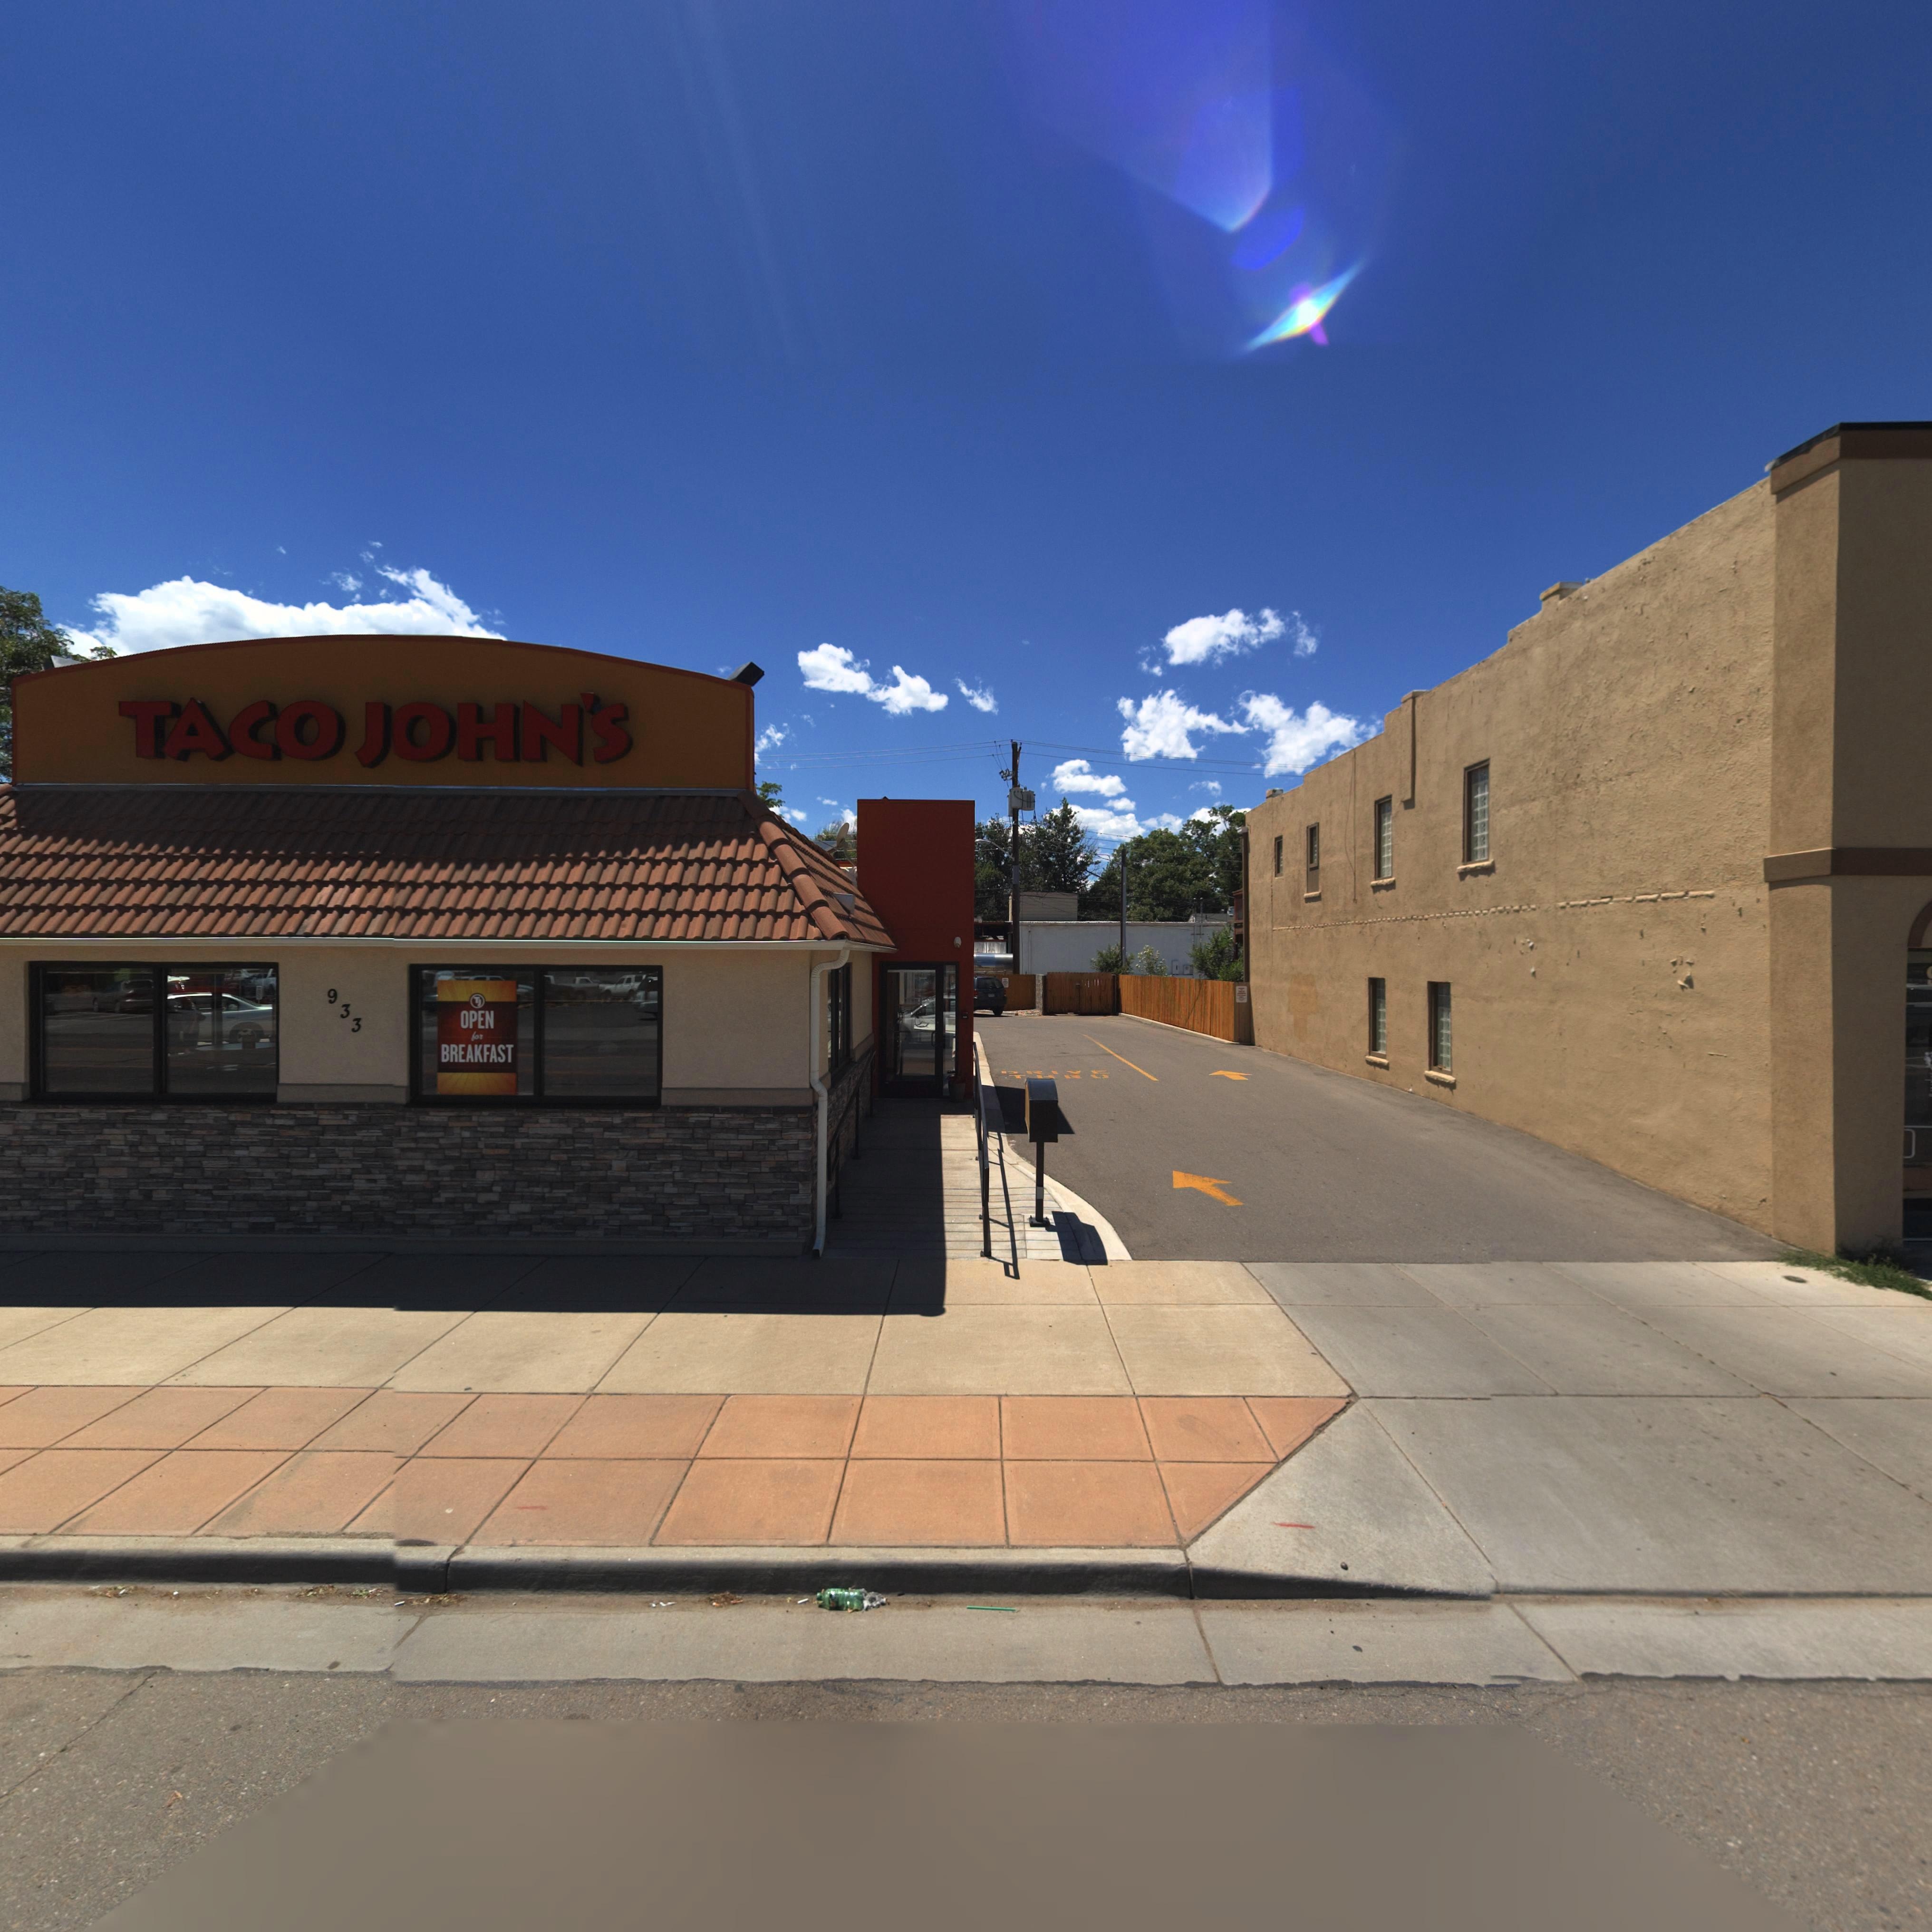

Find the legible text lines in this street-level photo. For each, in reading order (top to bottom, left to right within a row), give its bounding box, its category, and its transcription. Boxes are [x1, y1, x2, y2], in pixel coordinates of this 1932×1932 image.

[116, 691, 633, 770] BusinessName: TACO JOHN"S
[327, 988, 361, 1033] StreetNumber: 933